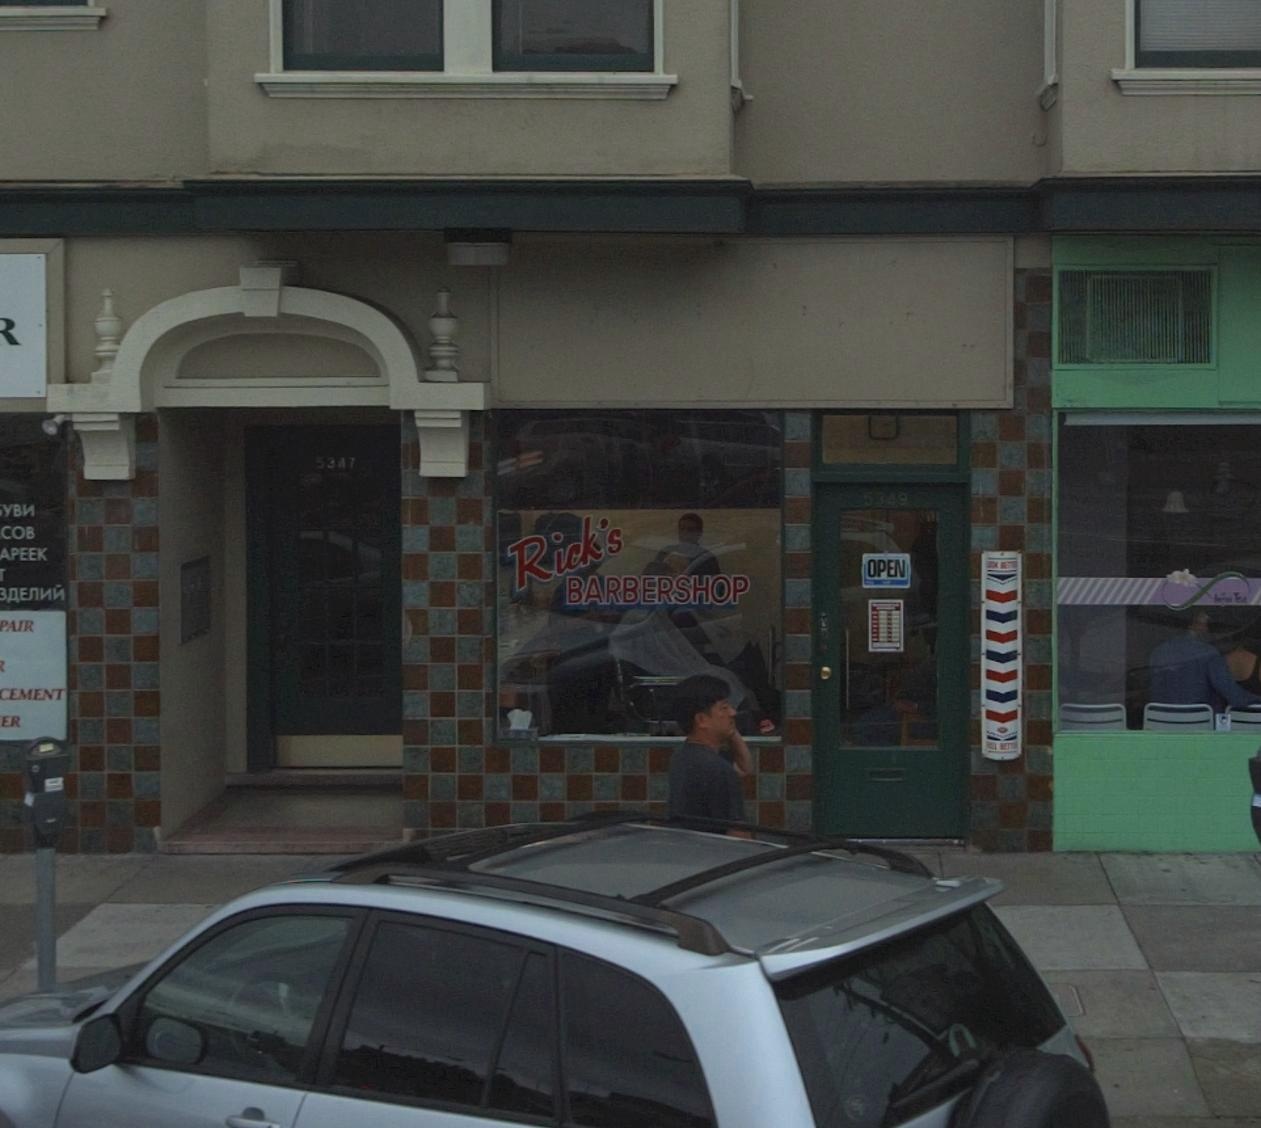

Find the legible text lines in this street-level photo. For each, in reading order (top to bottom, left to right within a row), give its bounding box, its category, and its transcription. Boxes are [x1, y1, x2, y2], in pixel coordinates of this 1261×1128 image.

[313, 453, 360, 473] StreetNumber: 5347
[0, 498, 38, 521] None: YB*
[861, 489, 910, 510] StreetNumber: 5249
[0, 522, 37, 542] None: COB
[8, 543, 51, 564] None: PEEK
[502, 509, 628, 597] BusinessName: Rick's
[865, 556, 907, 581] None: OPEN
[17, 584, 32, 603] None: E
[563, 571, 753, 608] BusinessName: BARBERSHOP
[3, 617, 37, 635] None: AIR
[6, 685, 69, 703] None: EMENT
[0, 713, 23, 730] None: ER